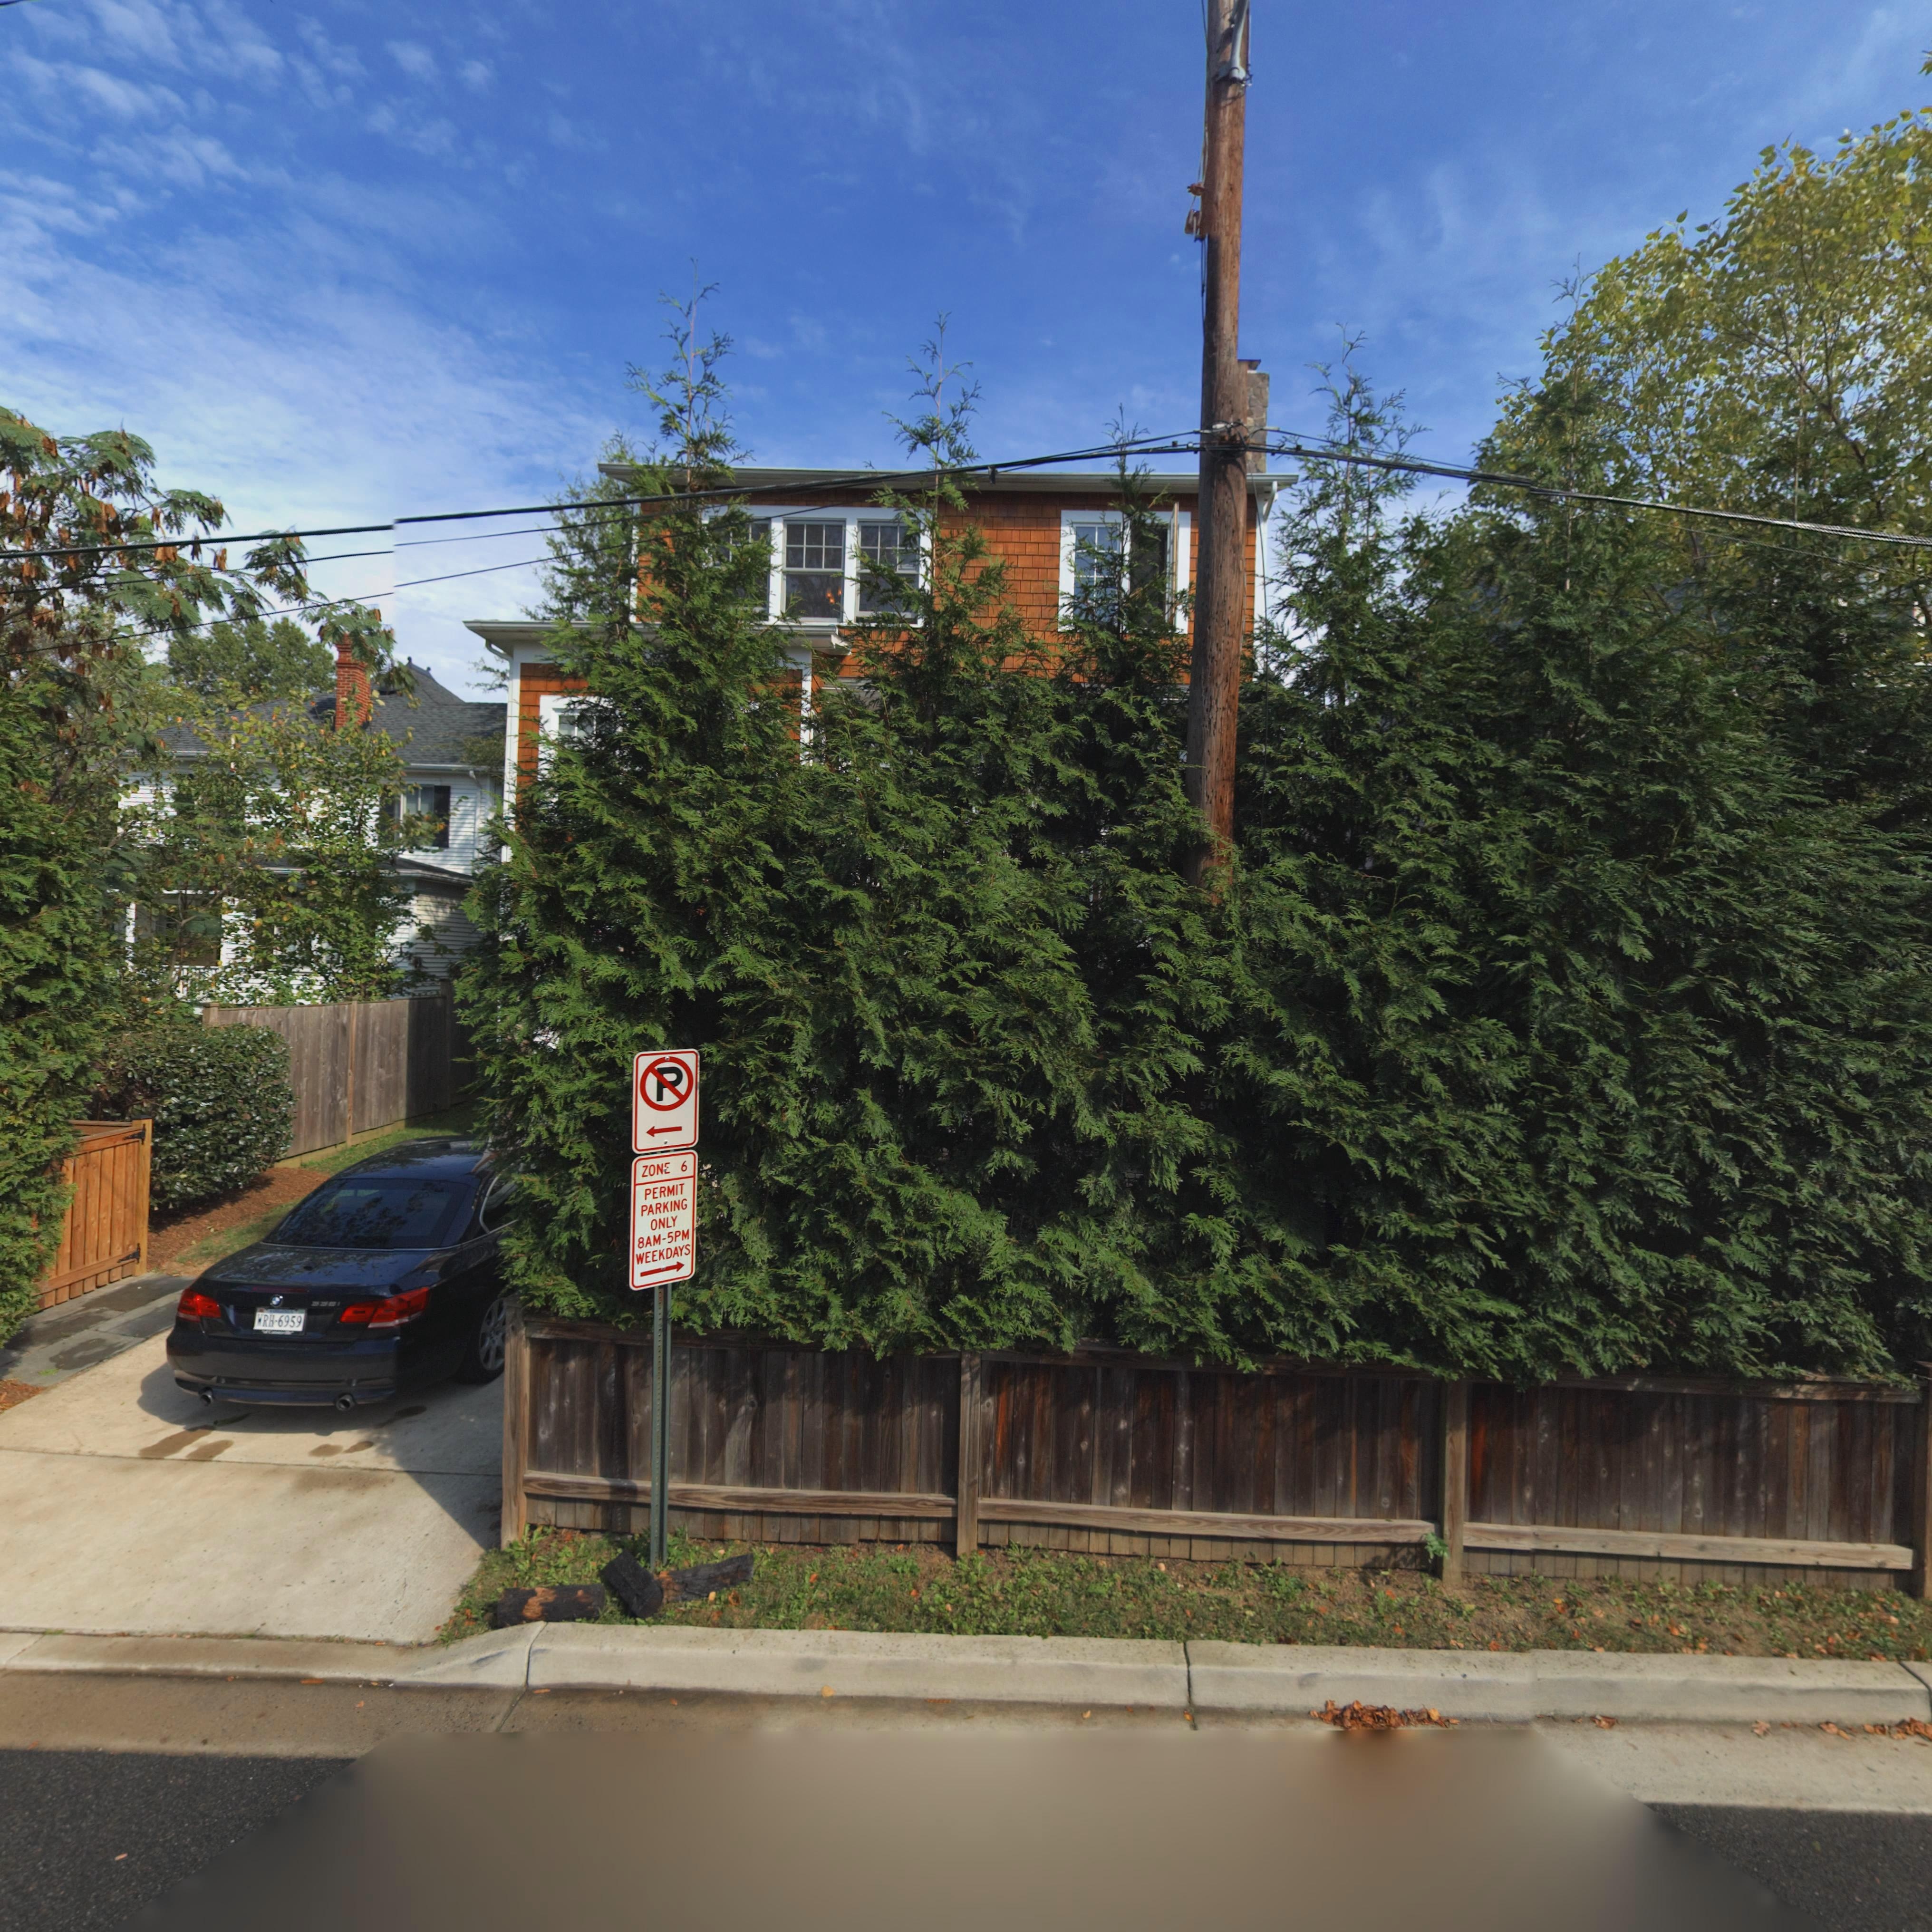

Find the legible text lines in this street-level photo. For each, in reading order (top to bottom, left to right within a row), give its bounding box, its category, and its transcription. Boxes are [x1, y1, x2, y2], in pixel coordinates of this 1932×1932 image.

[640, 1158, 689, 1179] None: ZON* 6
[644, 1182, 686, 1202] None: PERMIT
[640, 1197, 688, 1218] None: PARKING
[650, 1214, 678, 1232] None: ONLY
[637, 1227, 690, 1250] None: 8AM-5PM
[634, 1242, 692, 1266] None: WEEKDAYS
[261, 1313, 303, 1329] None: RH-6959